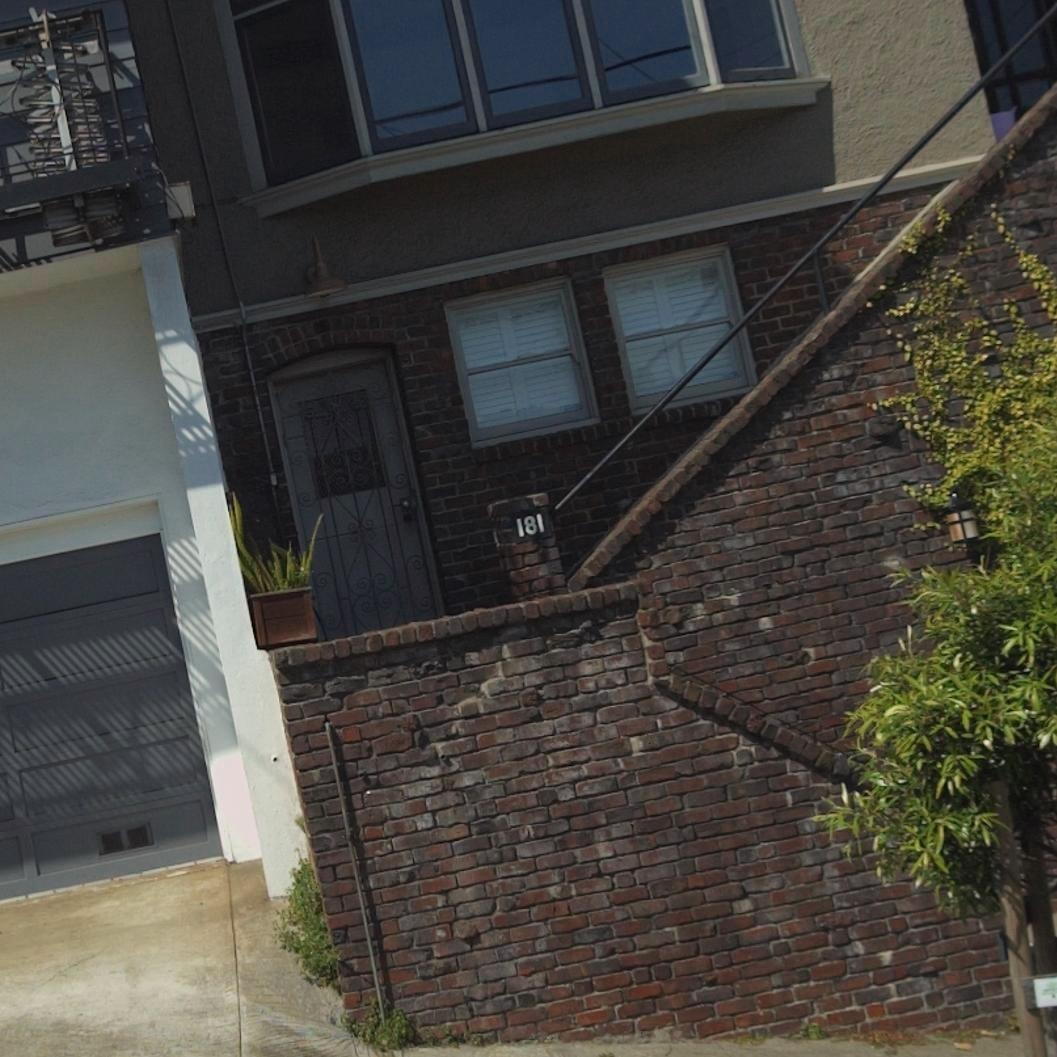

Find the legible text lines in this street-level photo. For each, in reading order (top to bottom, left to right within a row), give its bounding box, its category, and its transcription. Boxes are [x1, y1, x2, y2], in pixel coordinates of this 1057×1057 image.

[515, 511, 547, 539] StreetNumber: 181